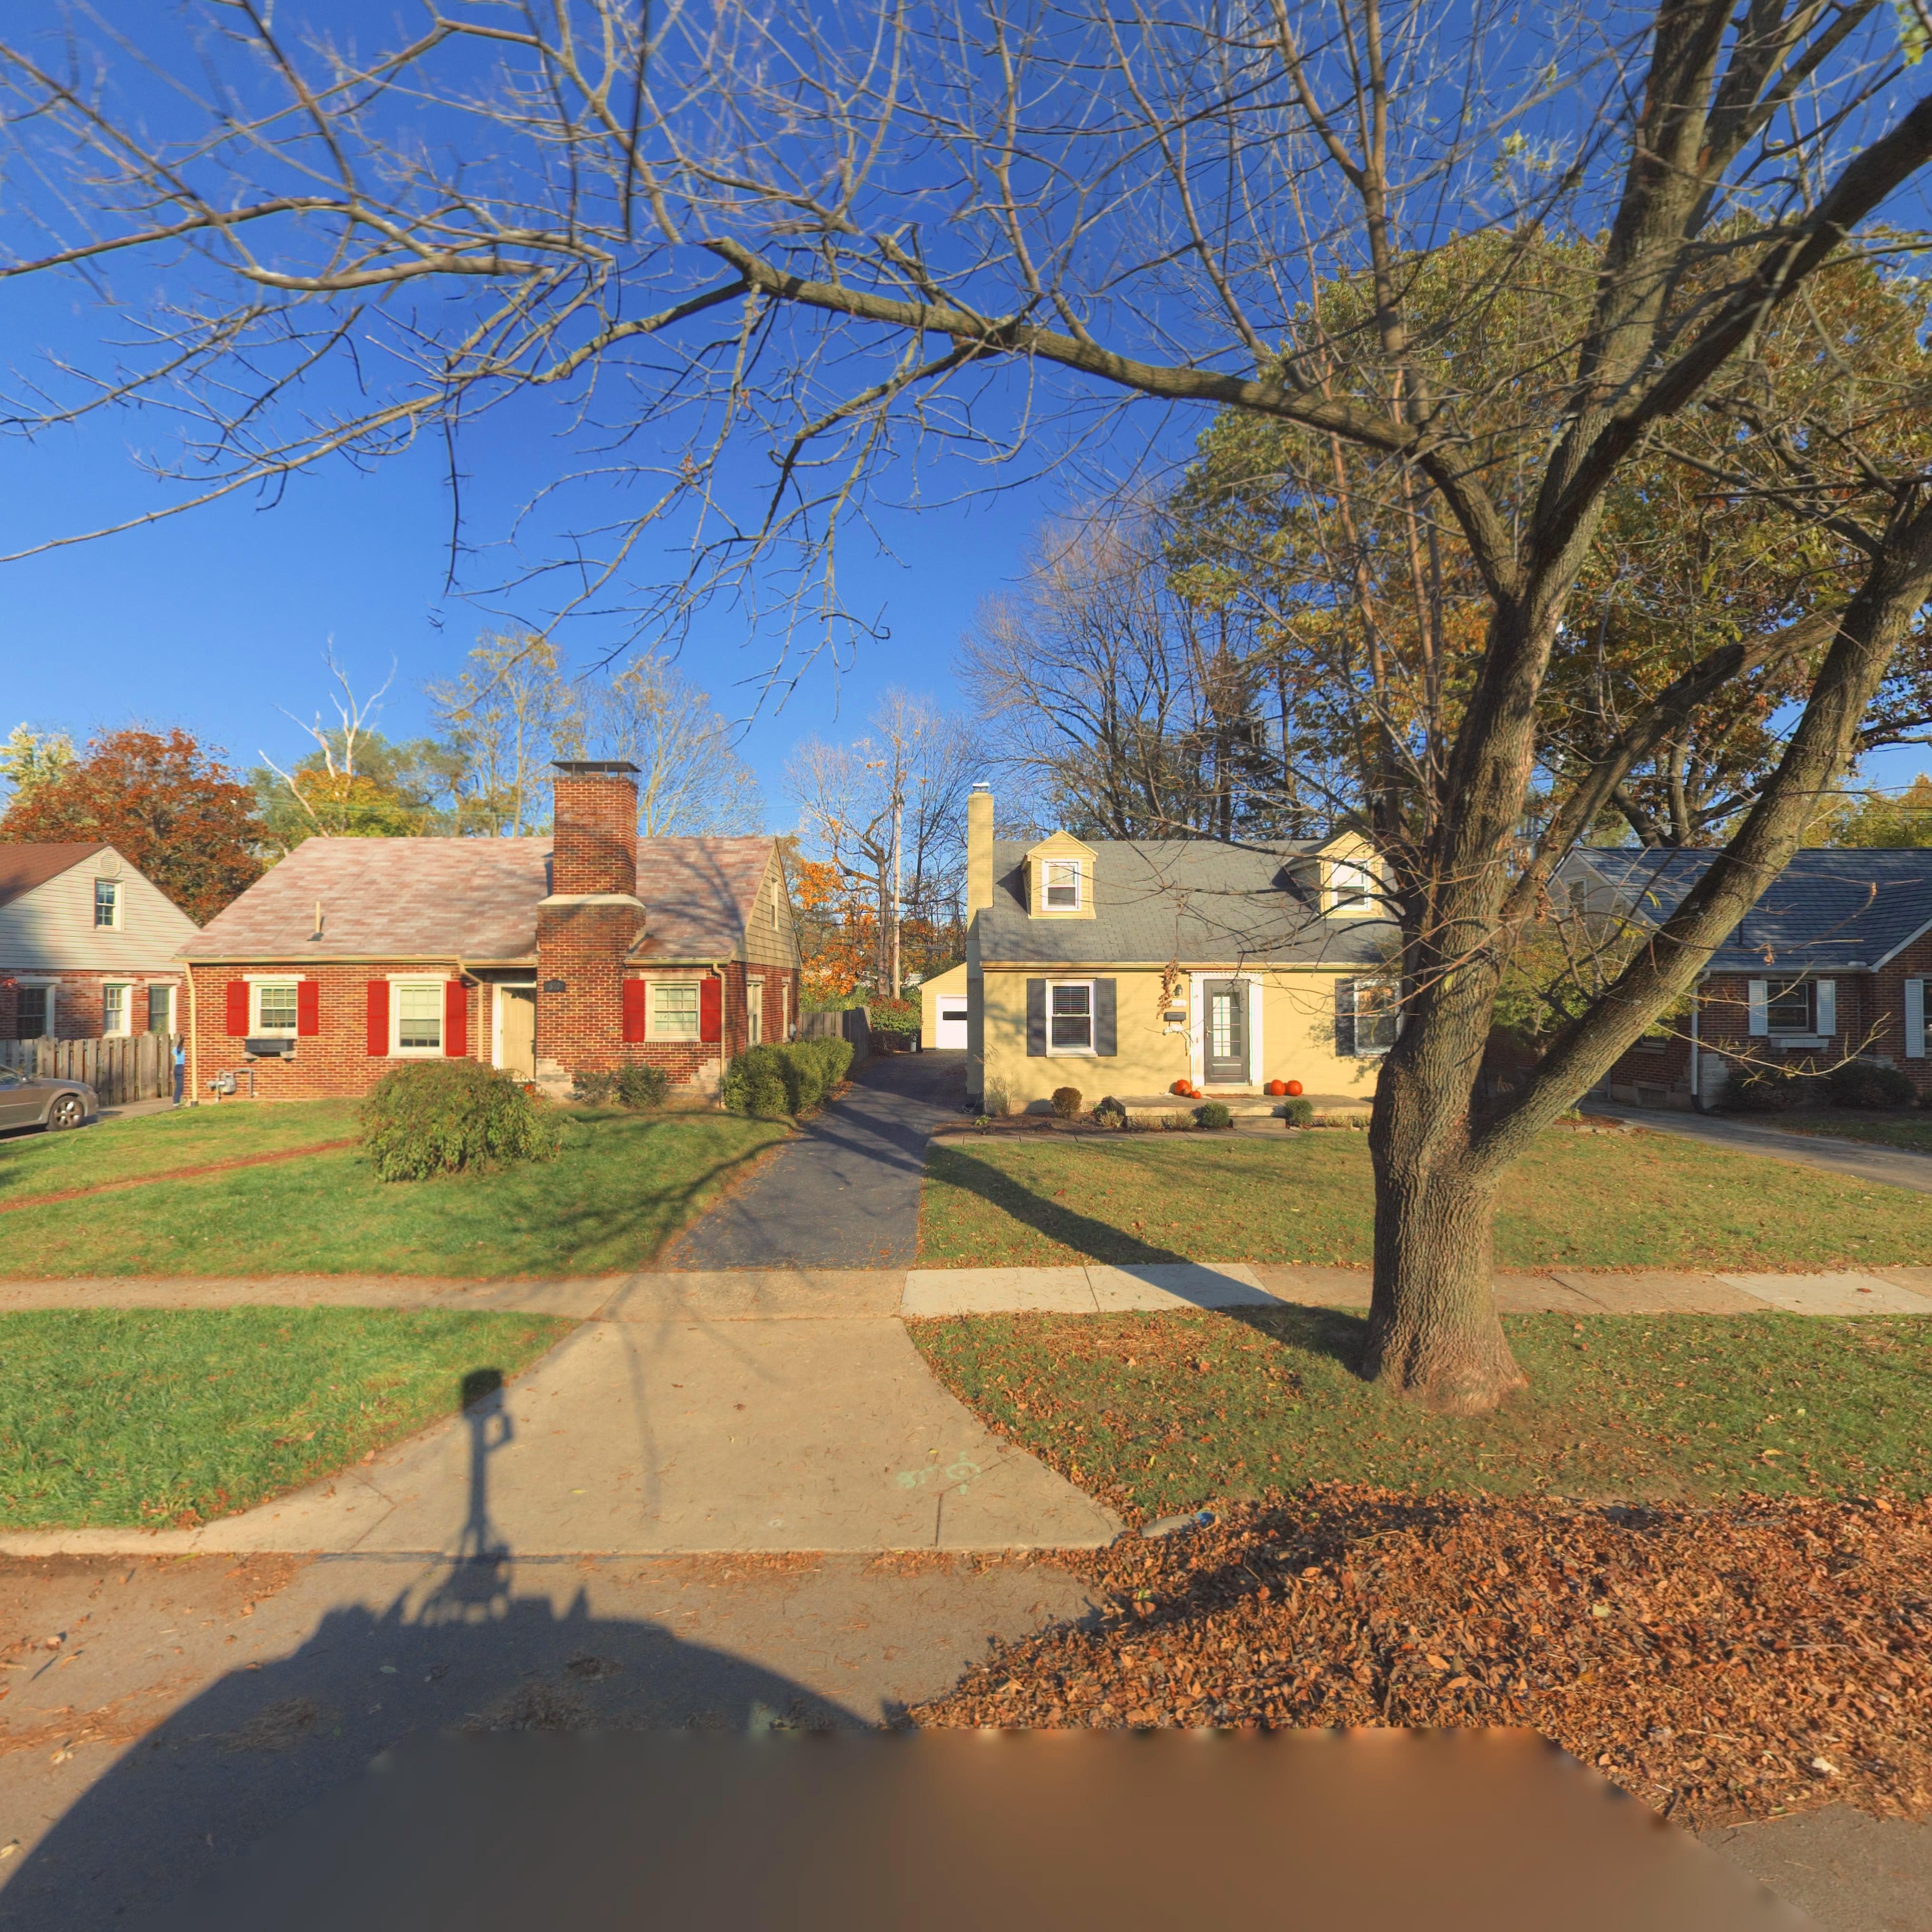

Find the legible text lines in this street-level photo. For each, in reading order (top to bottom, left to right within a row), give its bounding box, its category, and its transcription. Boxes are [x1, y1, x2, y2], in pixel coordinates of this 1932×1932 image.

[548, 981, 560, 990] StreetNumber: 810